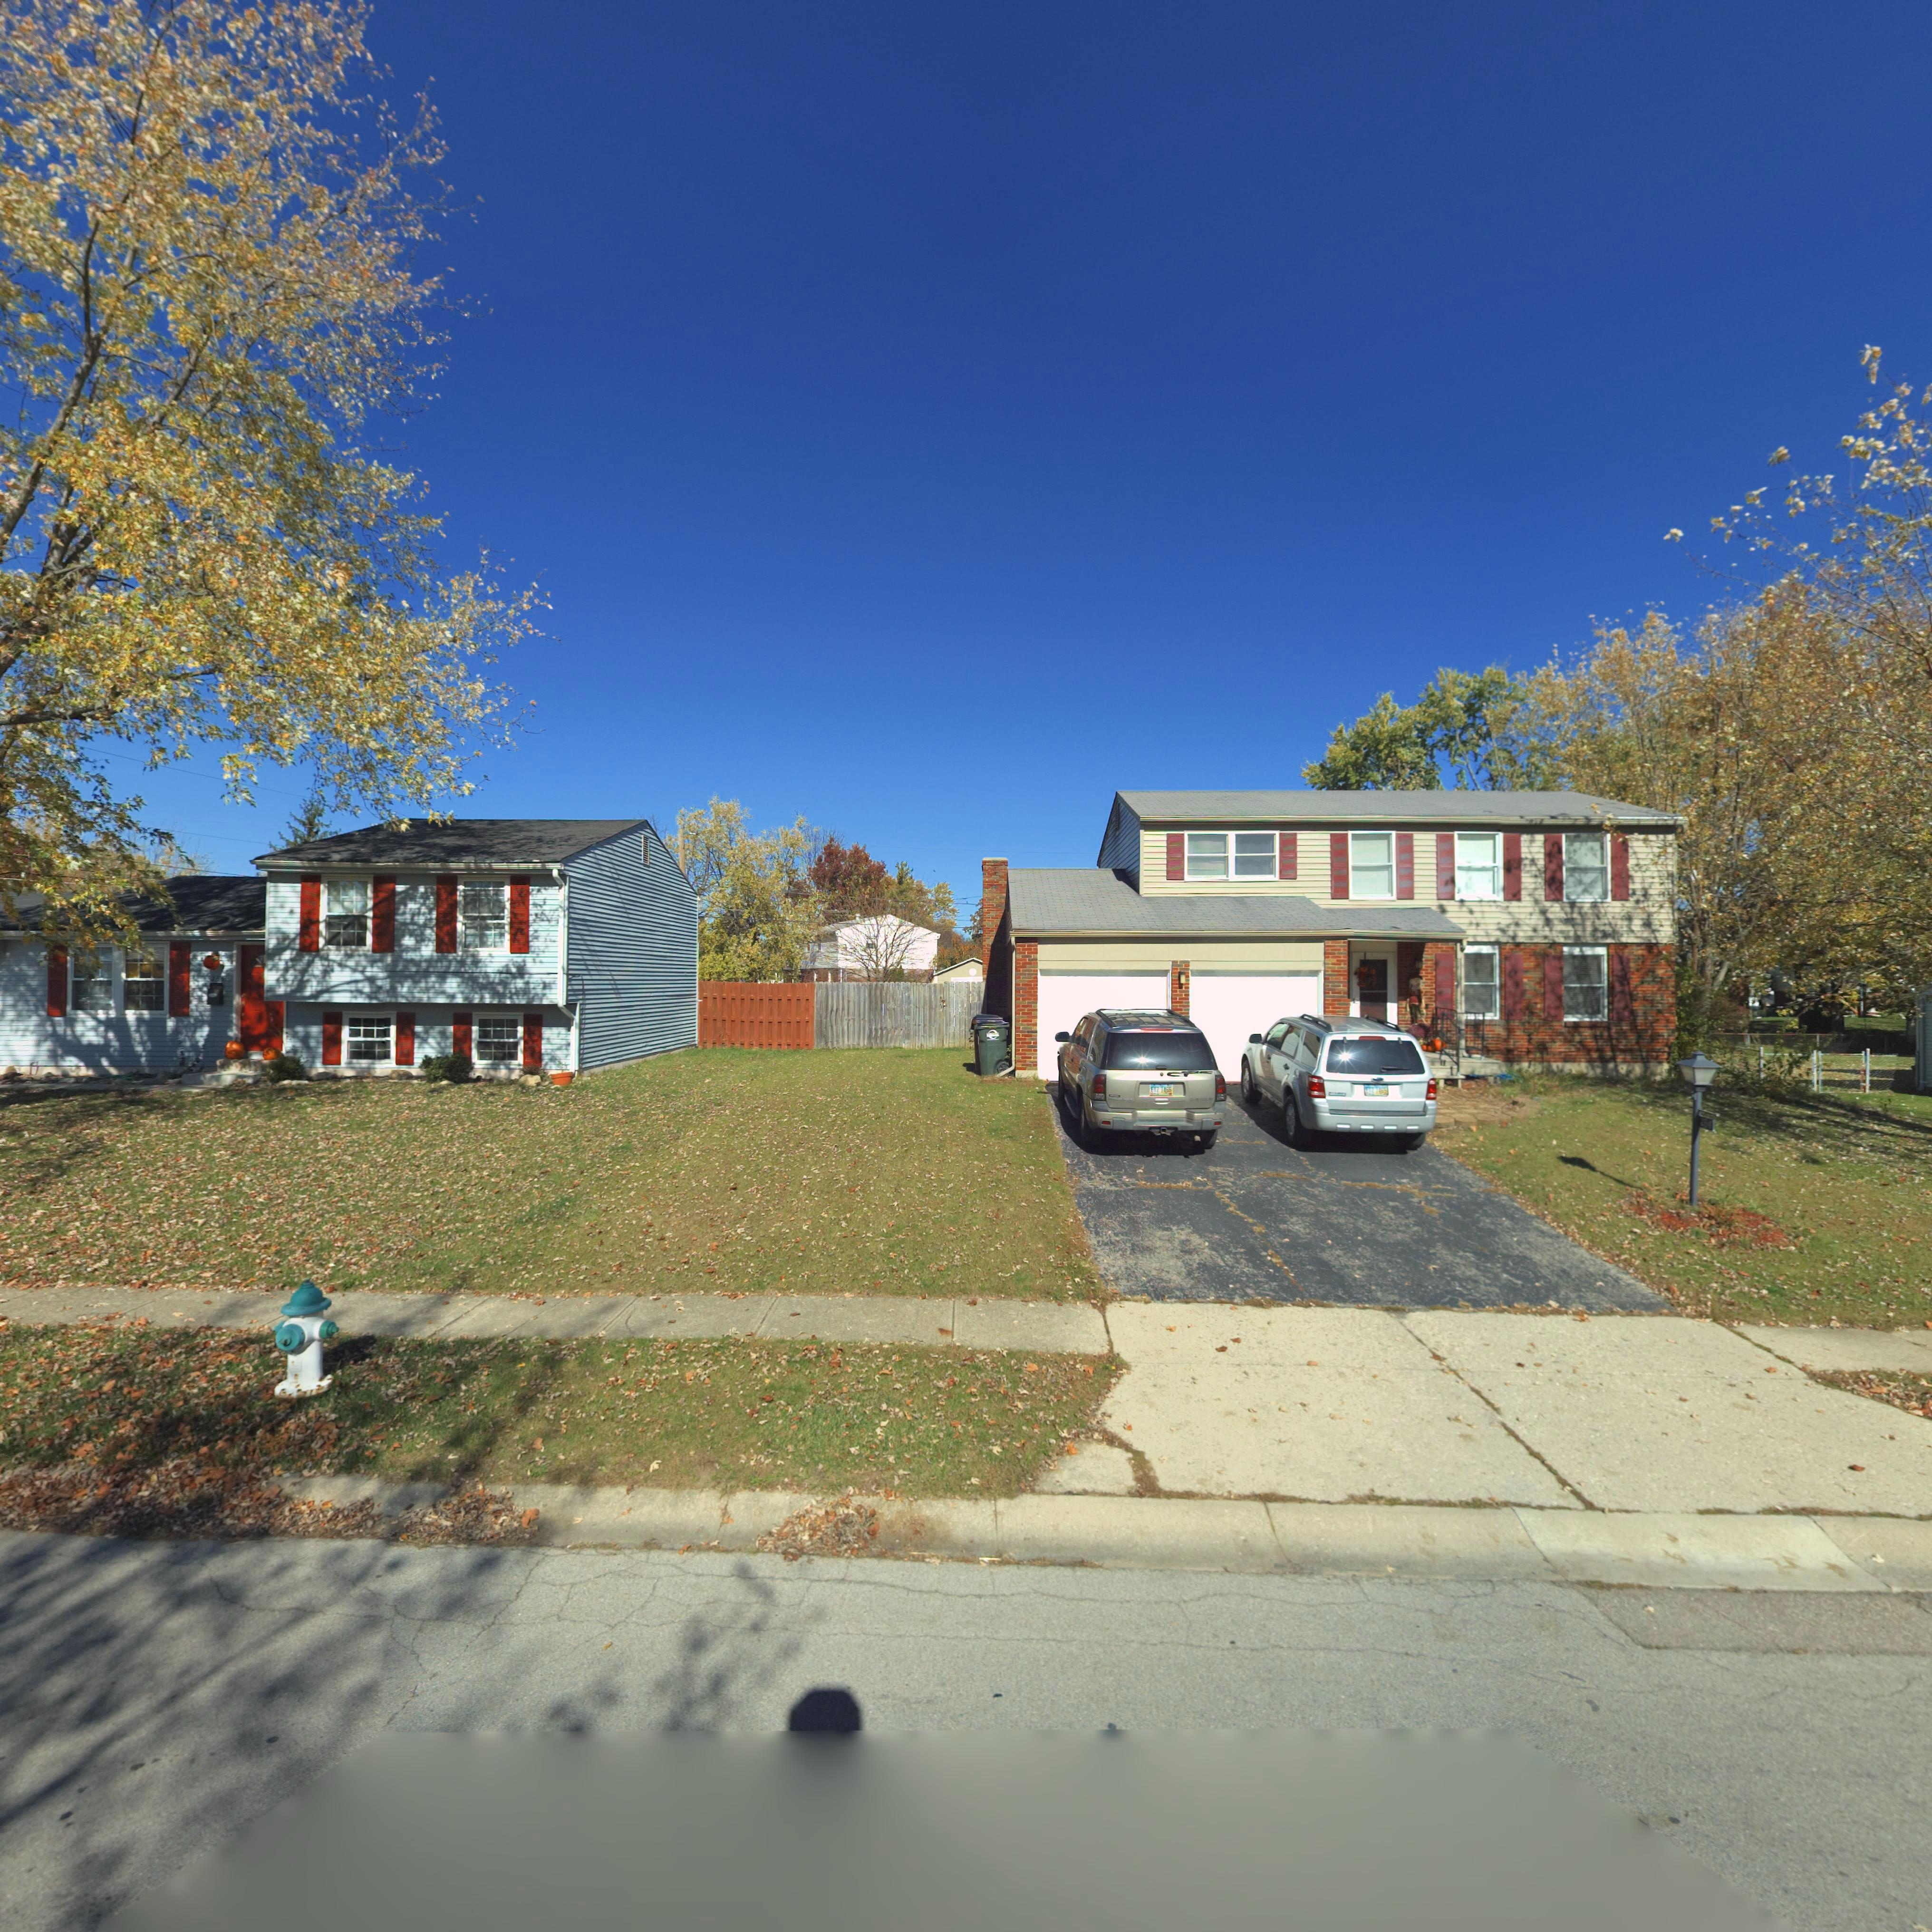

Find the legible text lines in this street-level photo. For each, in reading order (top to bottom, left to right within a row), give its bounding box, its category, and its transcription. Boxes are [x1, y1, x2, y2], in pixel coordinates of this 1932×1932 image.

[210, 975, 225, 982] StreetNumber: 266
[1699, 1117, 1713, 1131] StreetNumber: 264